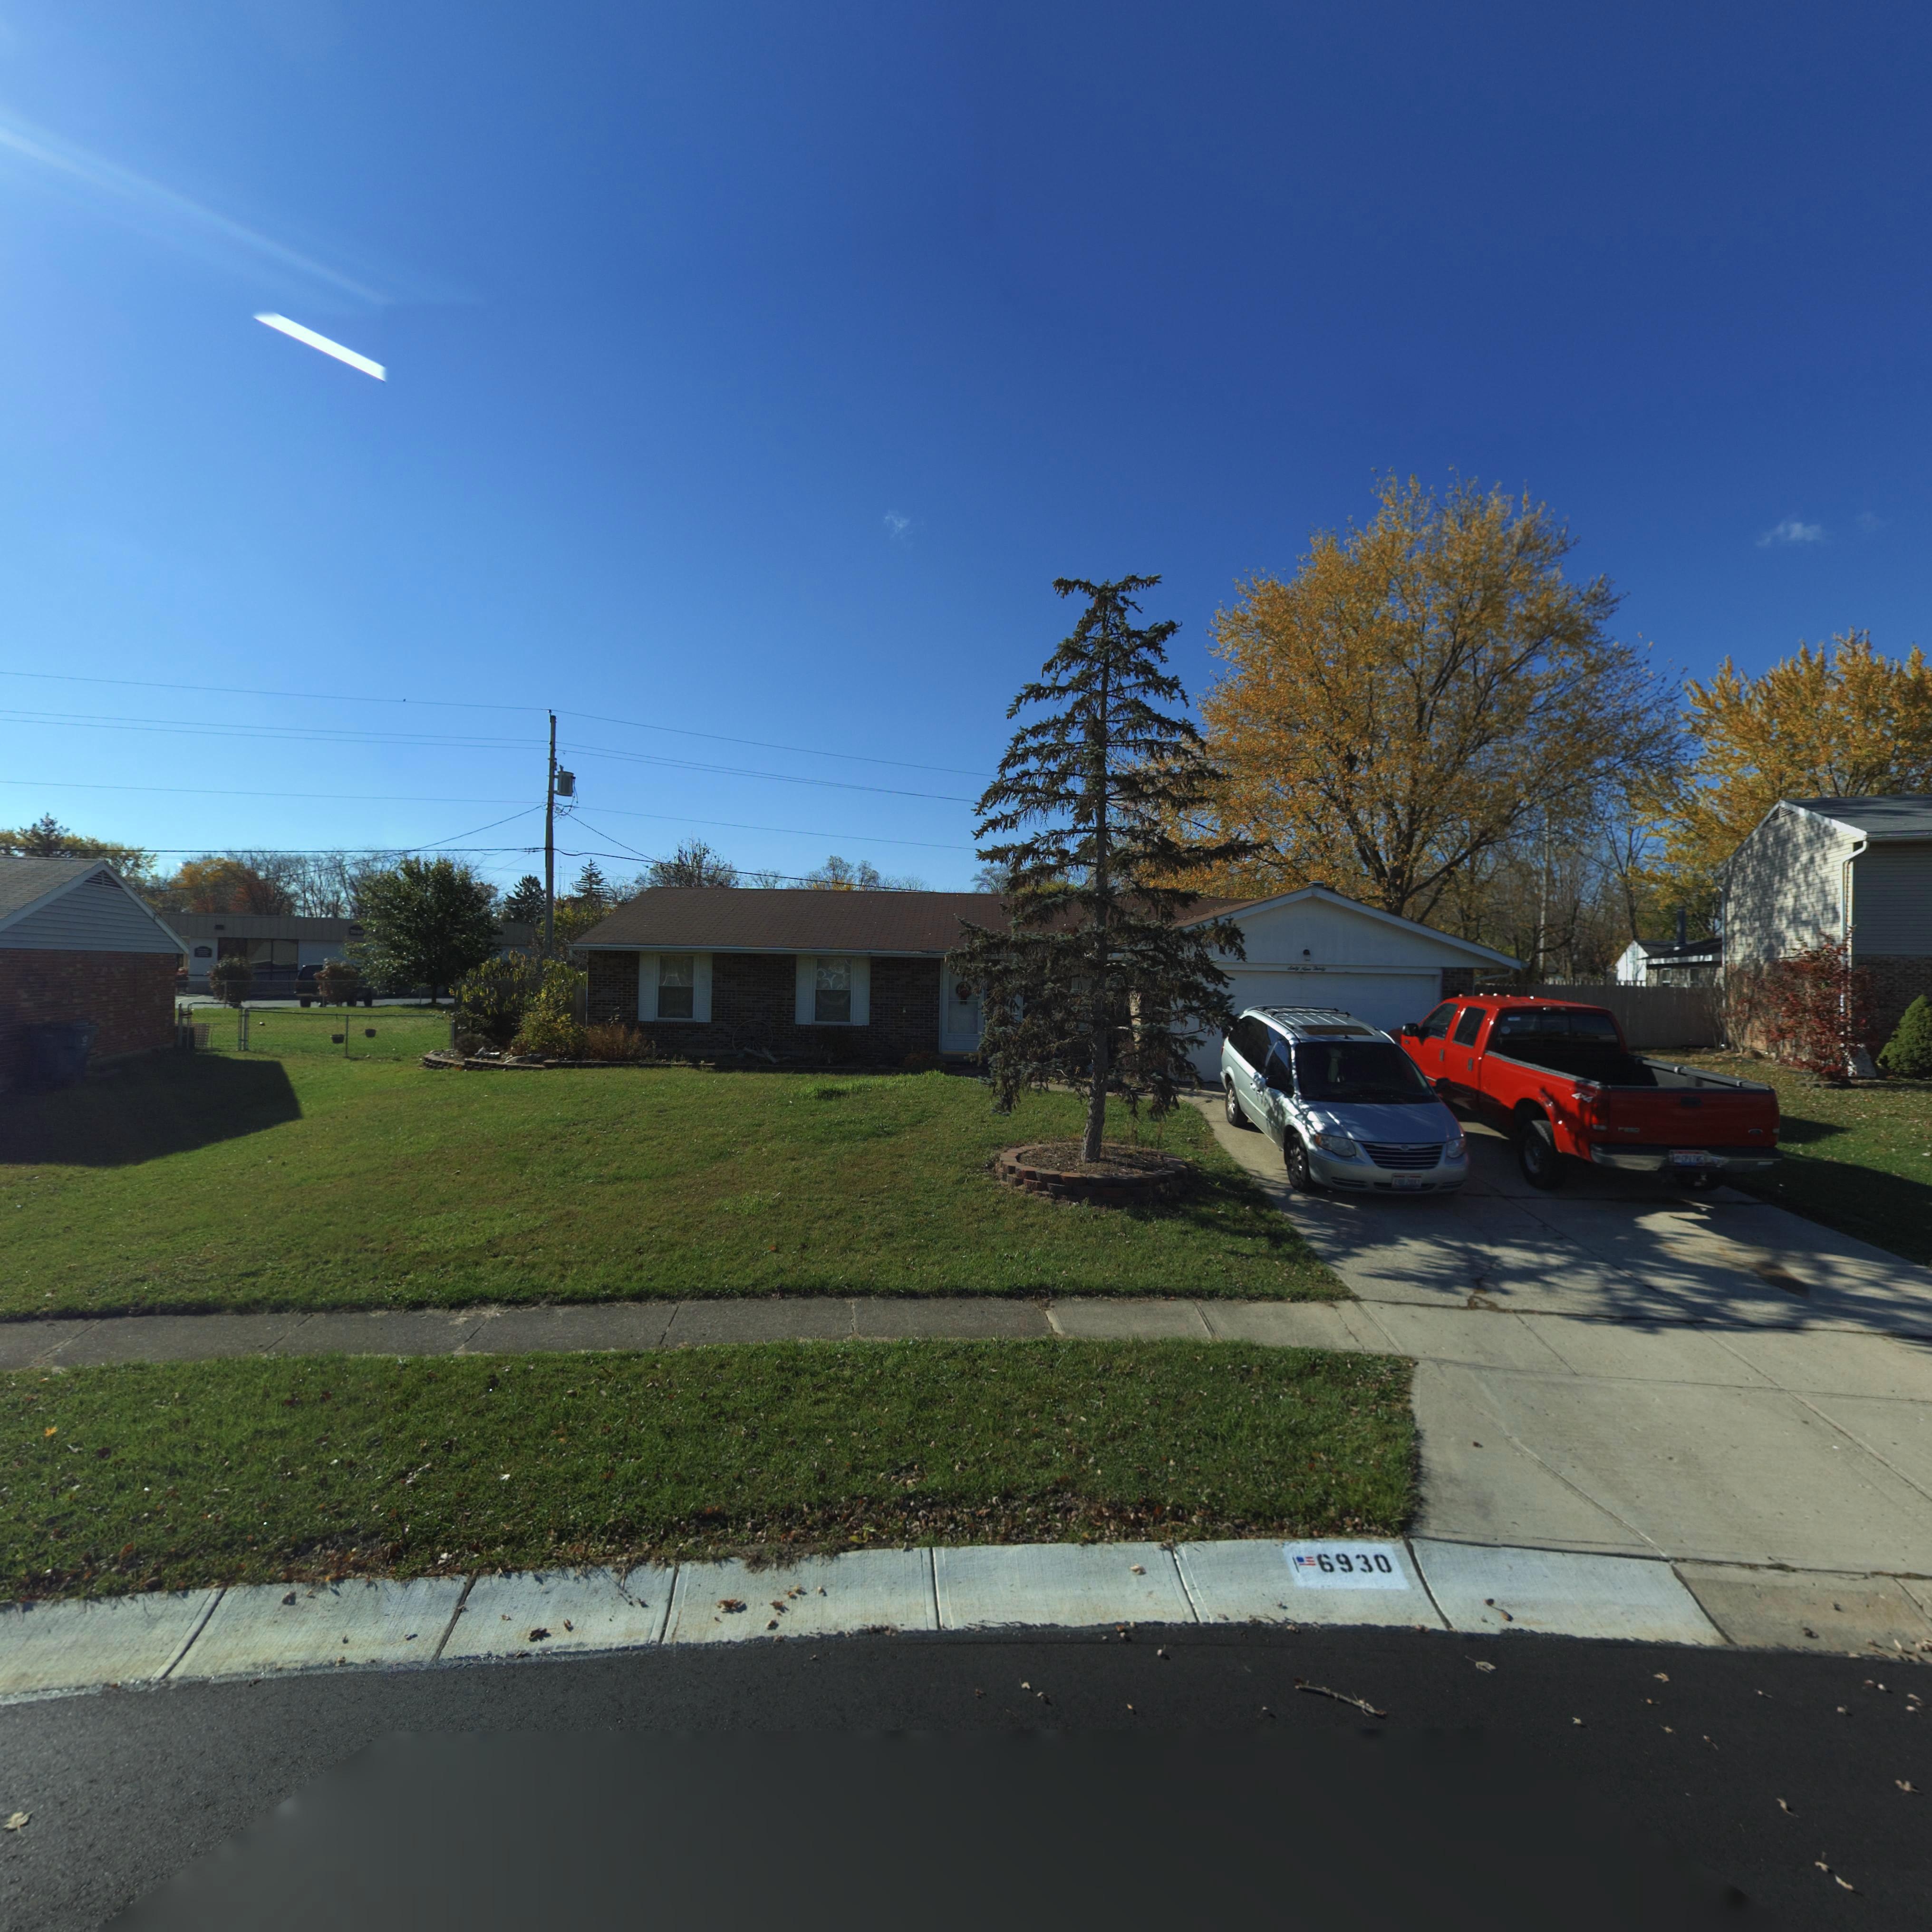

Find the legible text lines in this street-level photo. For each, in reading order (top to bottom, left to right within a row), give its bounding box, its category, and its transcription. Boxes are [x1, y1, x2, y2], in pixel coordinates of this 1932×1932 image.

[1287, 965, 1328, 973] StreetNumber: Sixty Nine Thirty
[1315, 1554, 1393, 1574] StreetNumber: 6930